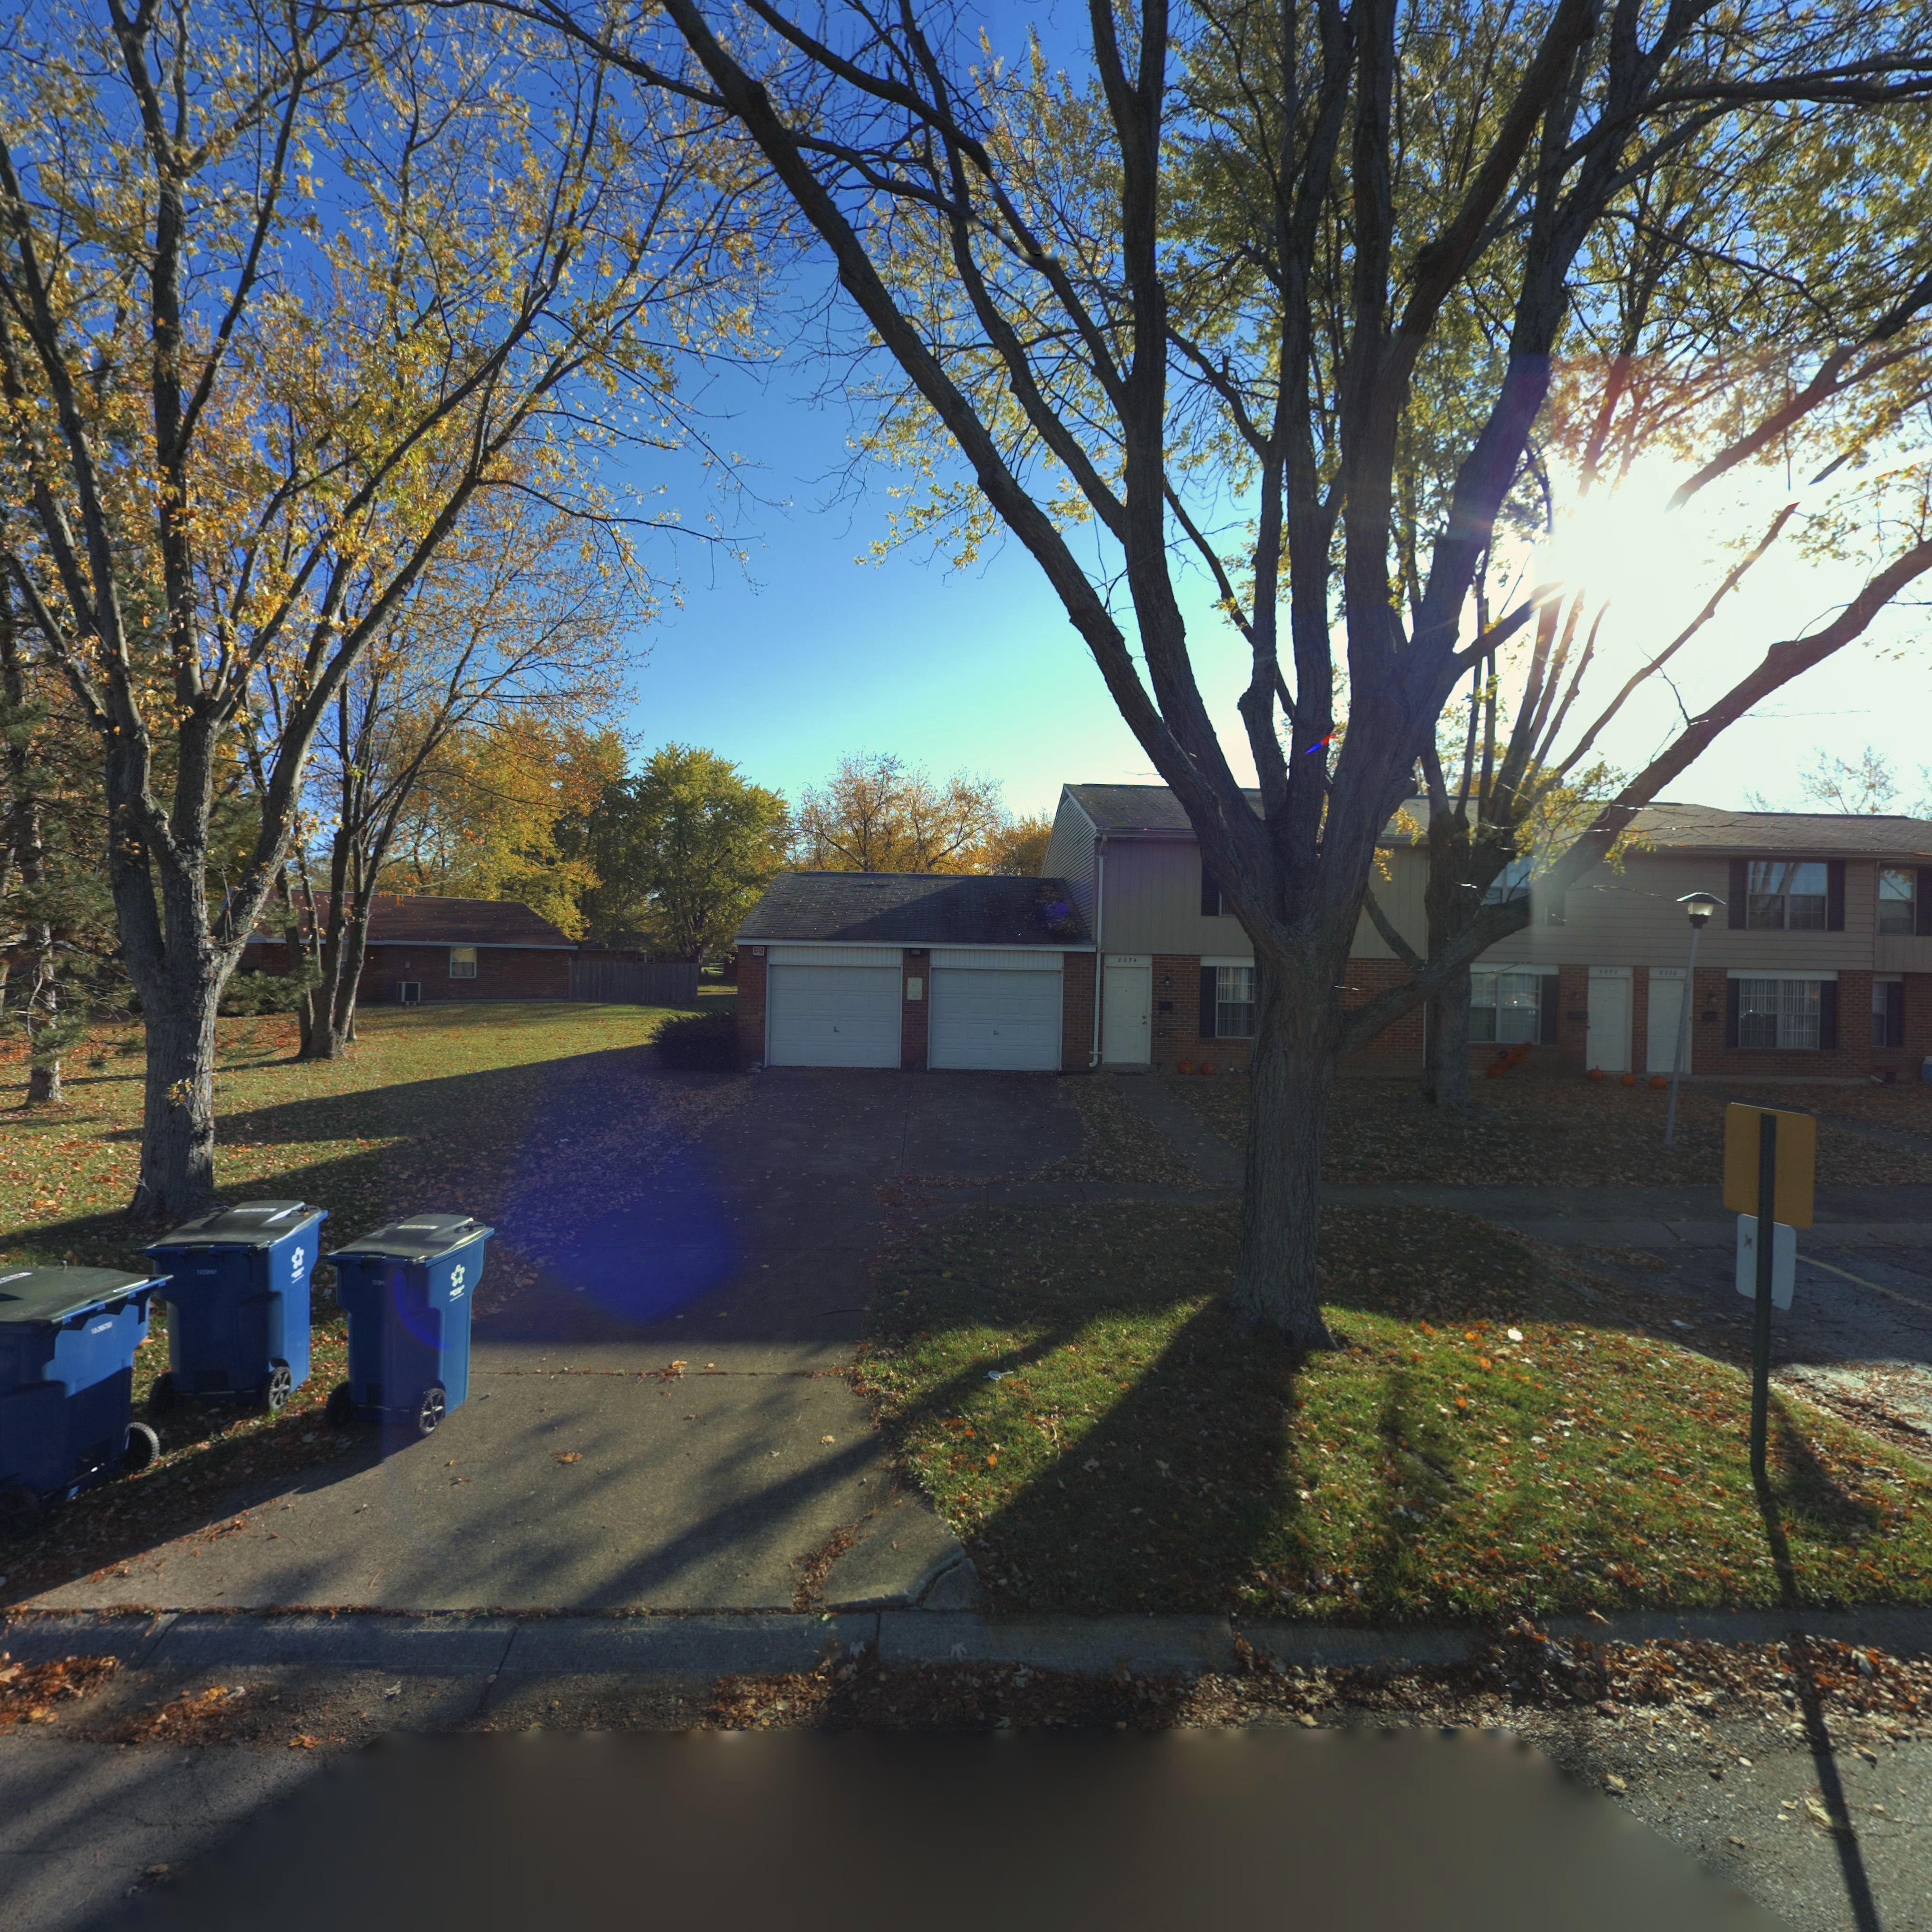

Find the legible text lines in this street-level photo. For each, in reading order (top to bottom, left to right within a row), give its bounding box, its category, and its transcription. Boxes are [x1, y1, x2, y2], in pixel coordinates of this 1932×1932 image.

[1118, 957, 1137, 963] StreetNumber: 8074
[1598, 969, 1618, 975] StreetNumber: 8072
[1659, 970, 1677, 976] StreetNumber: 8070